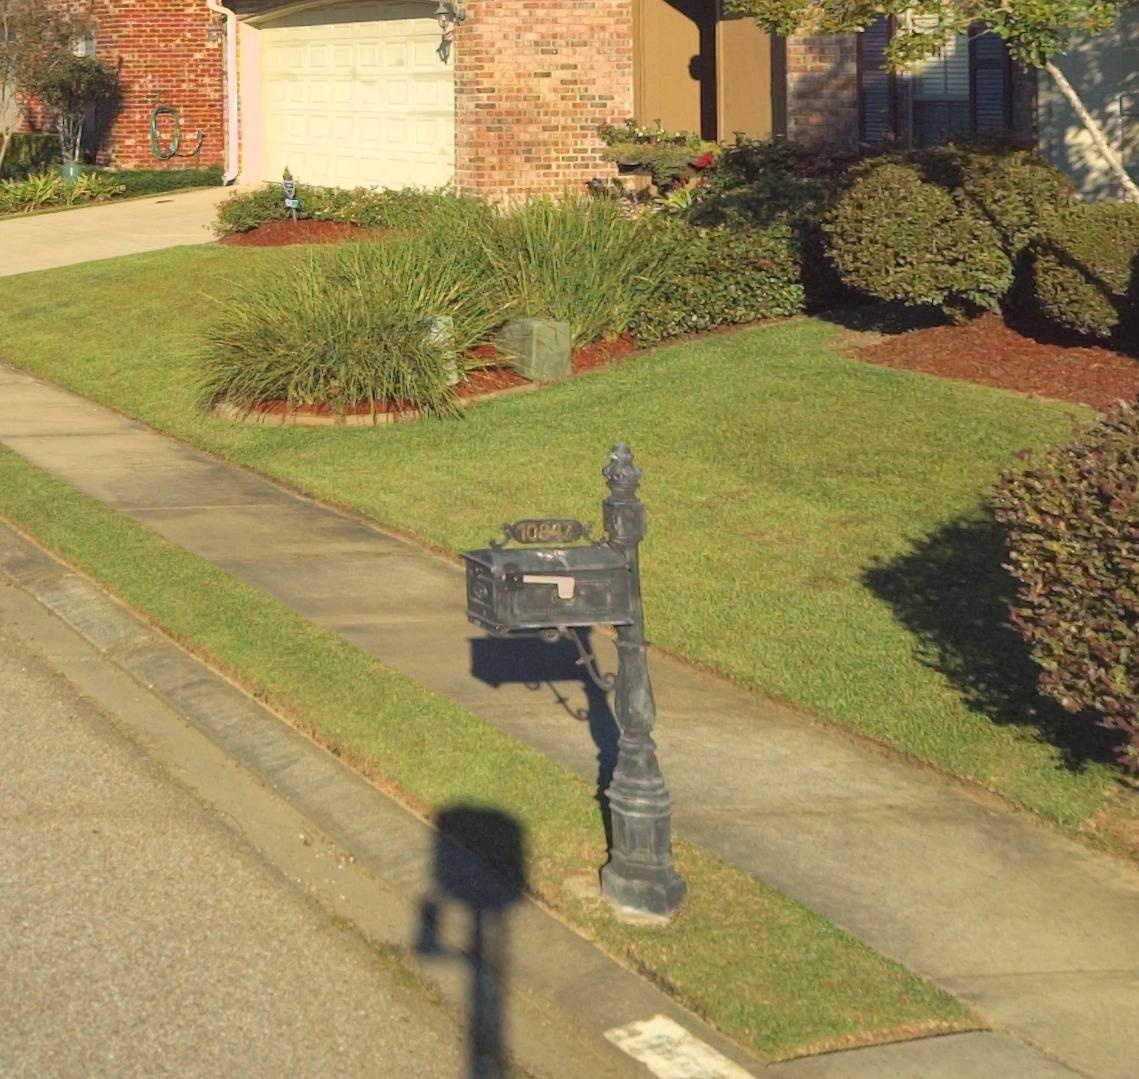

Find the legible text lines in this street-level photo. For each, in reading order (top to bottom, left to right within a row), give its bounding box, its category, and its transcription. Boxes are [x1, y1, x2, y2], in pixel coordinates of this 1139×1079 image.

[515, 520, 575, 544] StreetNumber: 10847